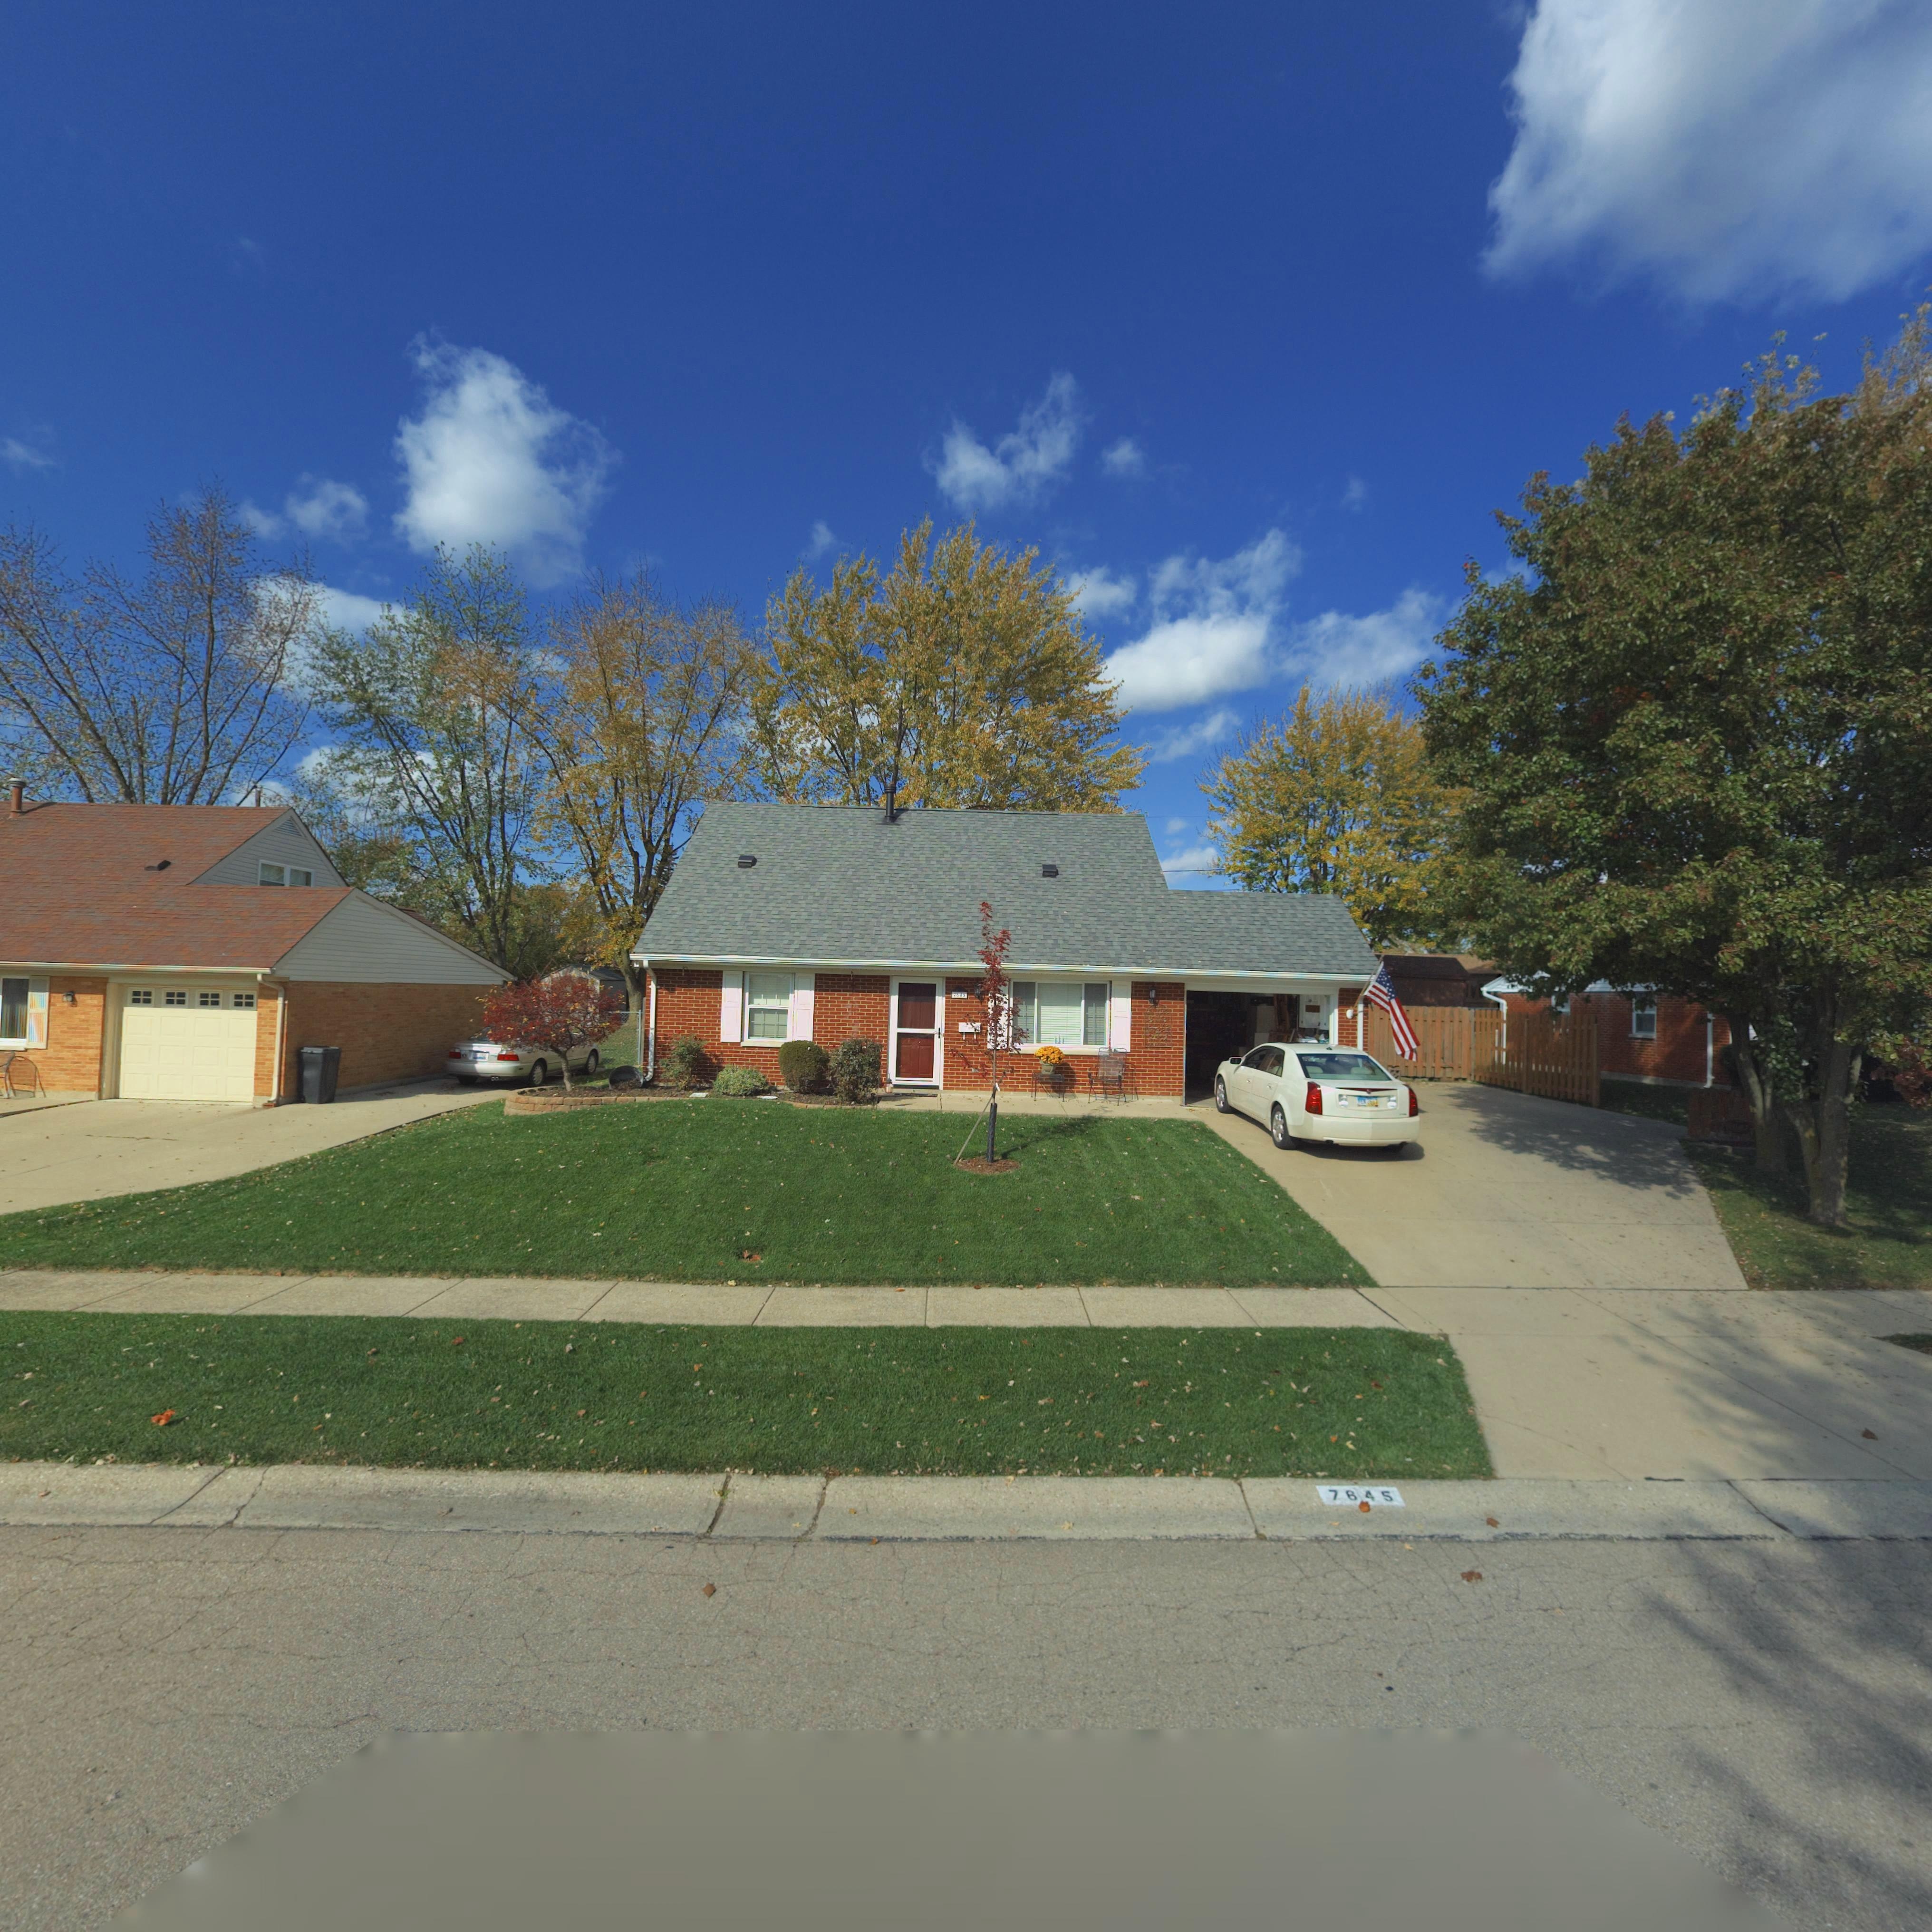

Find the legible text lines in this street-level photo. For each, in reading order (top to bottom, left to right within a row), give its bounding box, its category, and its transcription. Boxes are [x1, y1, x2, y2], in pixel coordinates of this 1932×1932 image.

[953, 992, 966, 997] StreetNumber: 7645
[1327, 1488, 1395, 1502] StreetNumber: 7645